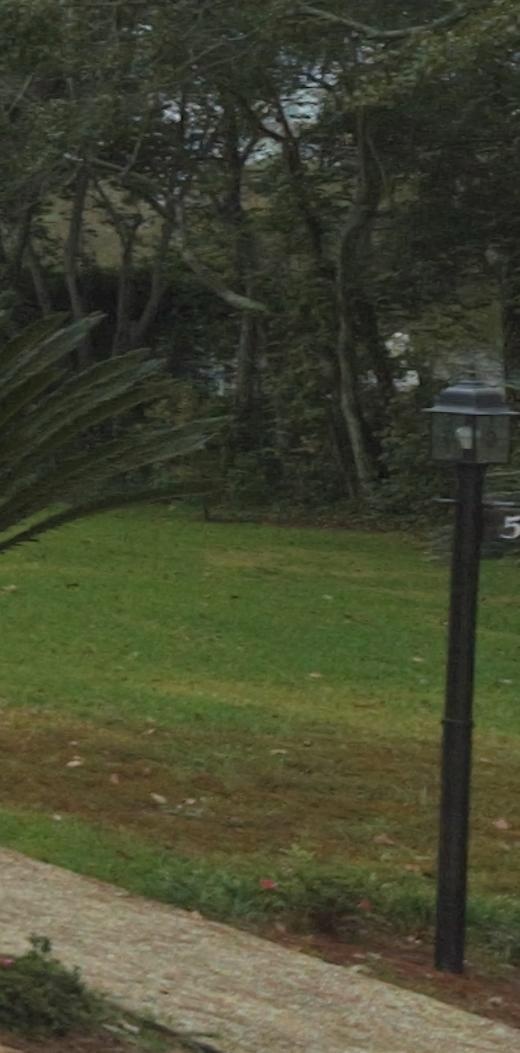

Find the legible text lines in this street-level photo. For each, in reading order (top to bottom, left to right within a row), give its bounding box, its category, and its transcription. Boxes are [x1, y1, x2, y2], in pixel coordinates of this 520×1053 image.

[500, 513, 520, 541] StreetNumber: 590